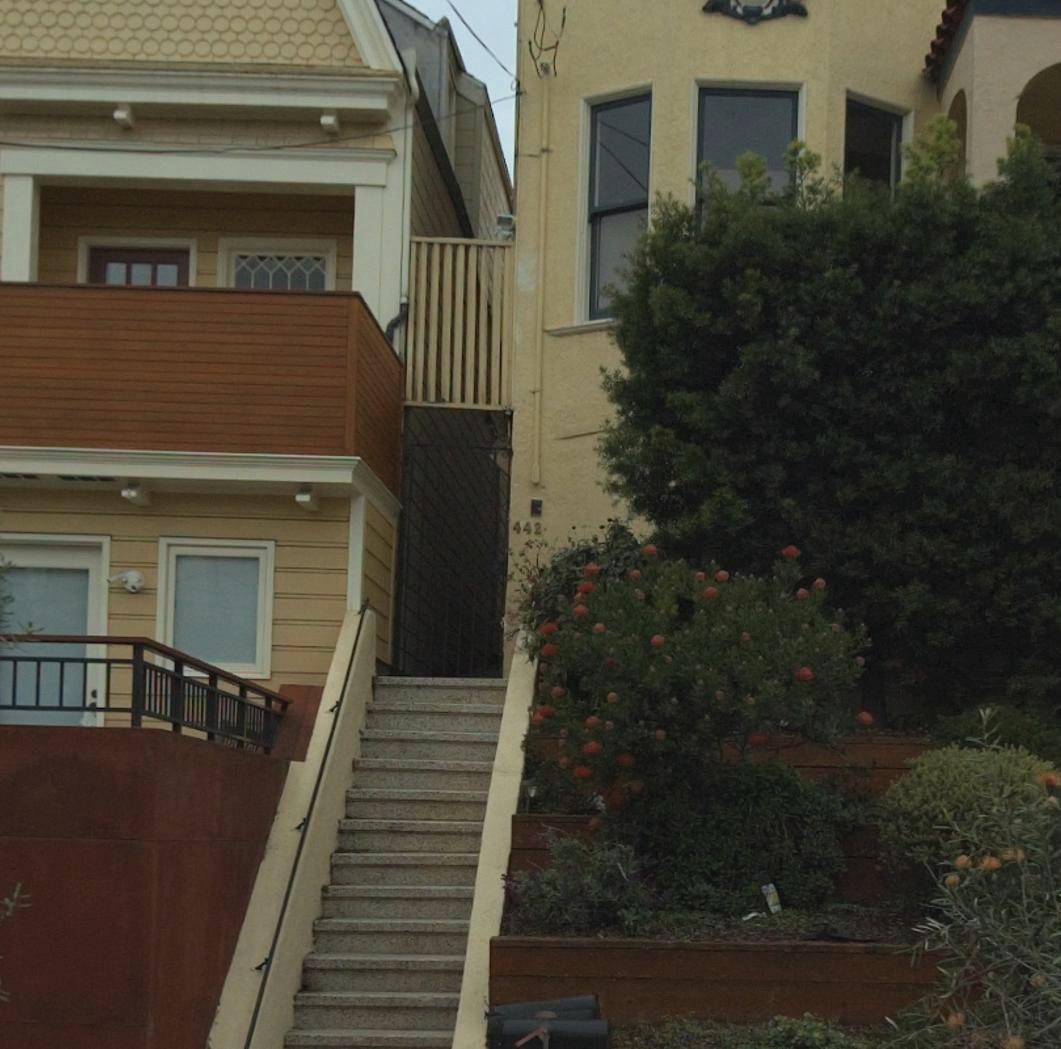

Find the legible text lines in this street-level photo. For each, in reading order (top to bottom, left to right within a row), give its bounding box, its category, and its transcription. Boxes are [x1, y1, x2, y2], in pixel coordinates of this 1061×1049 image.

[511, 520, 544, 537] StreetNumber: 442